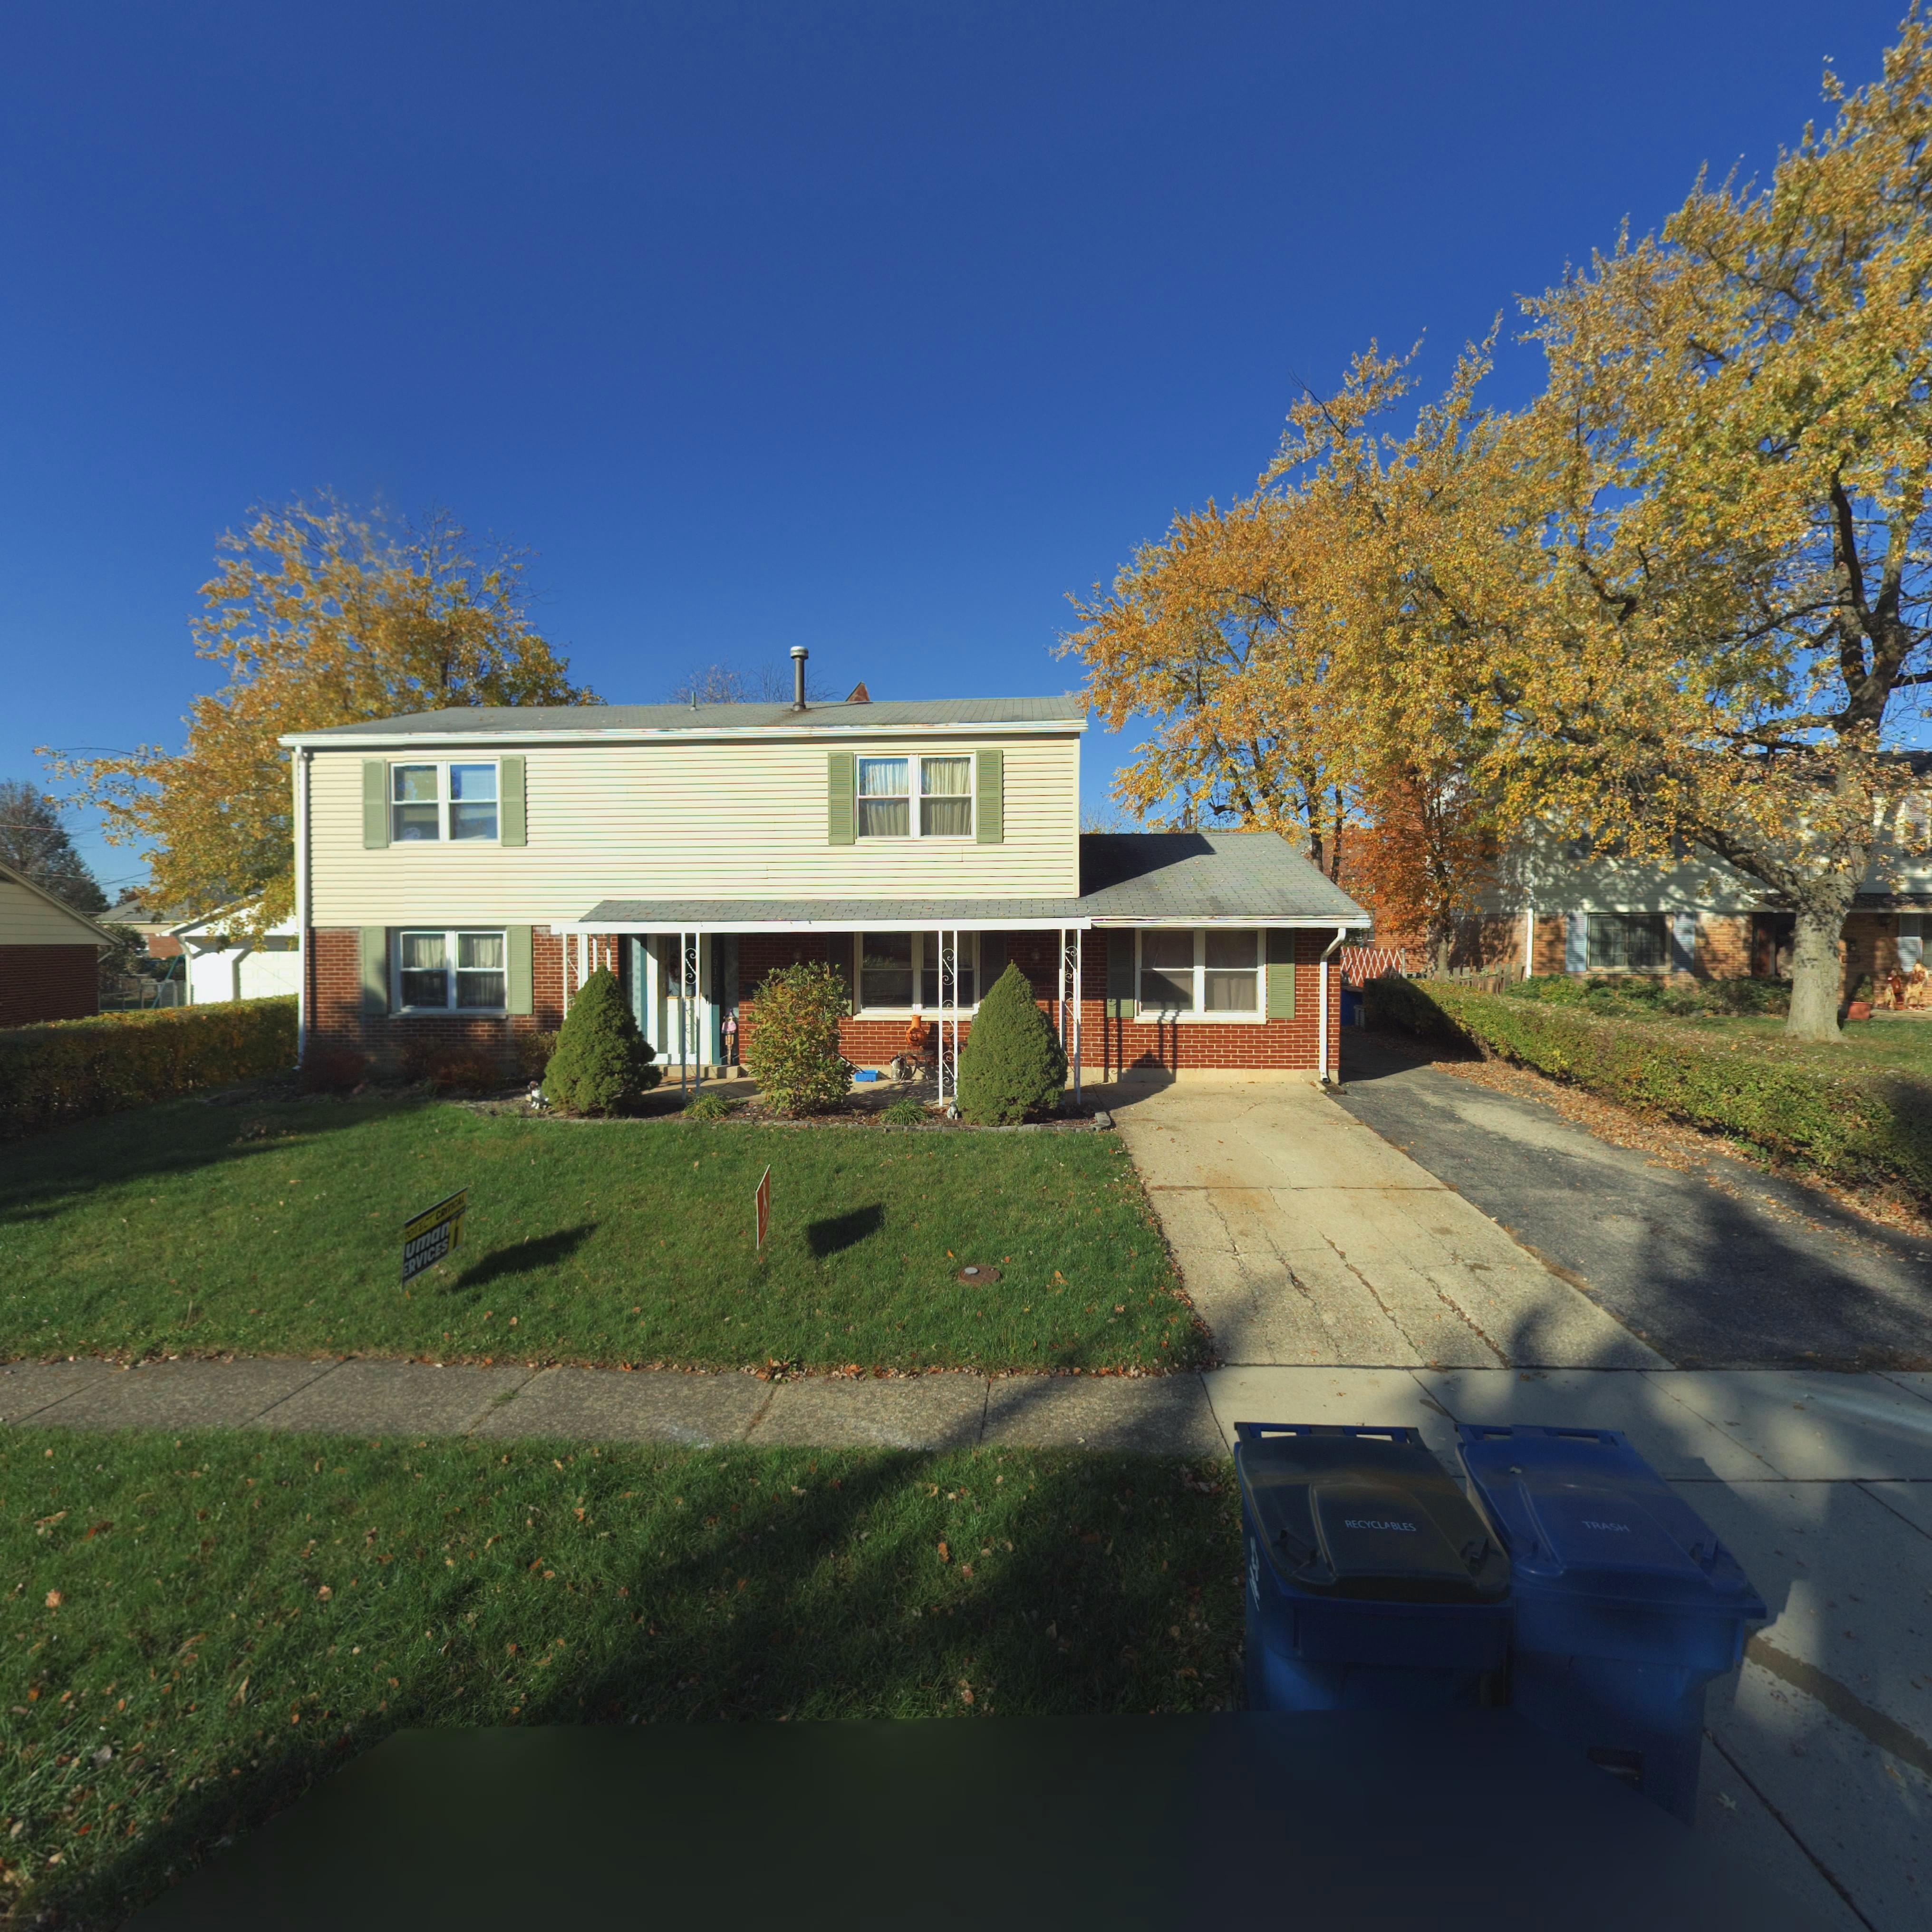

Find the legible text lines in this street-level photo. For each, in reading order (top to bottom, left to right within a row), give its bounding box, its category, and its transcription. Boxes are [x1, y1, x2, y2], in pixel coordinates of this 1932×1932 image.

[712, 949, 719, 985] StreetNumber: *912